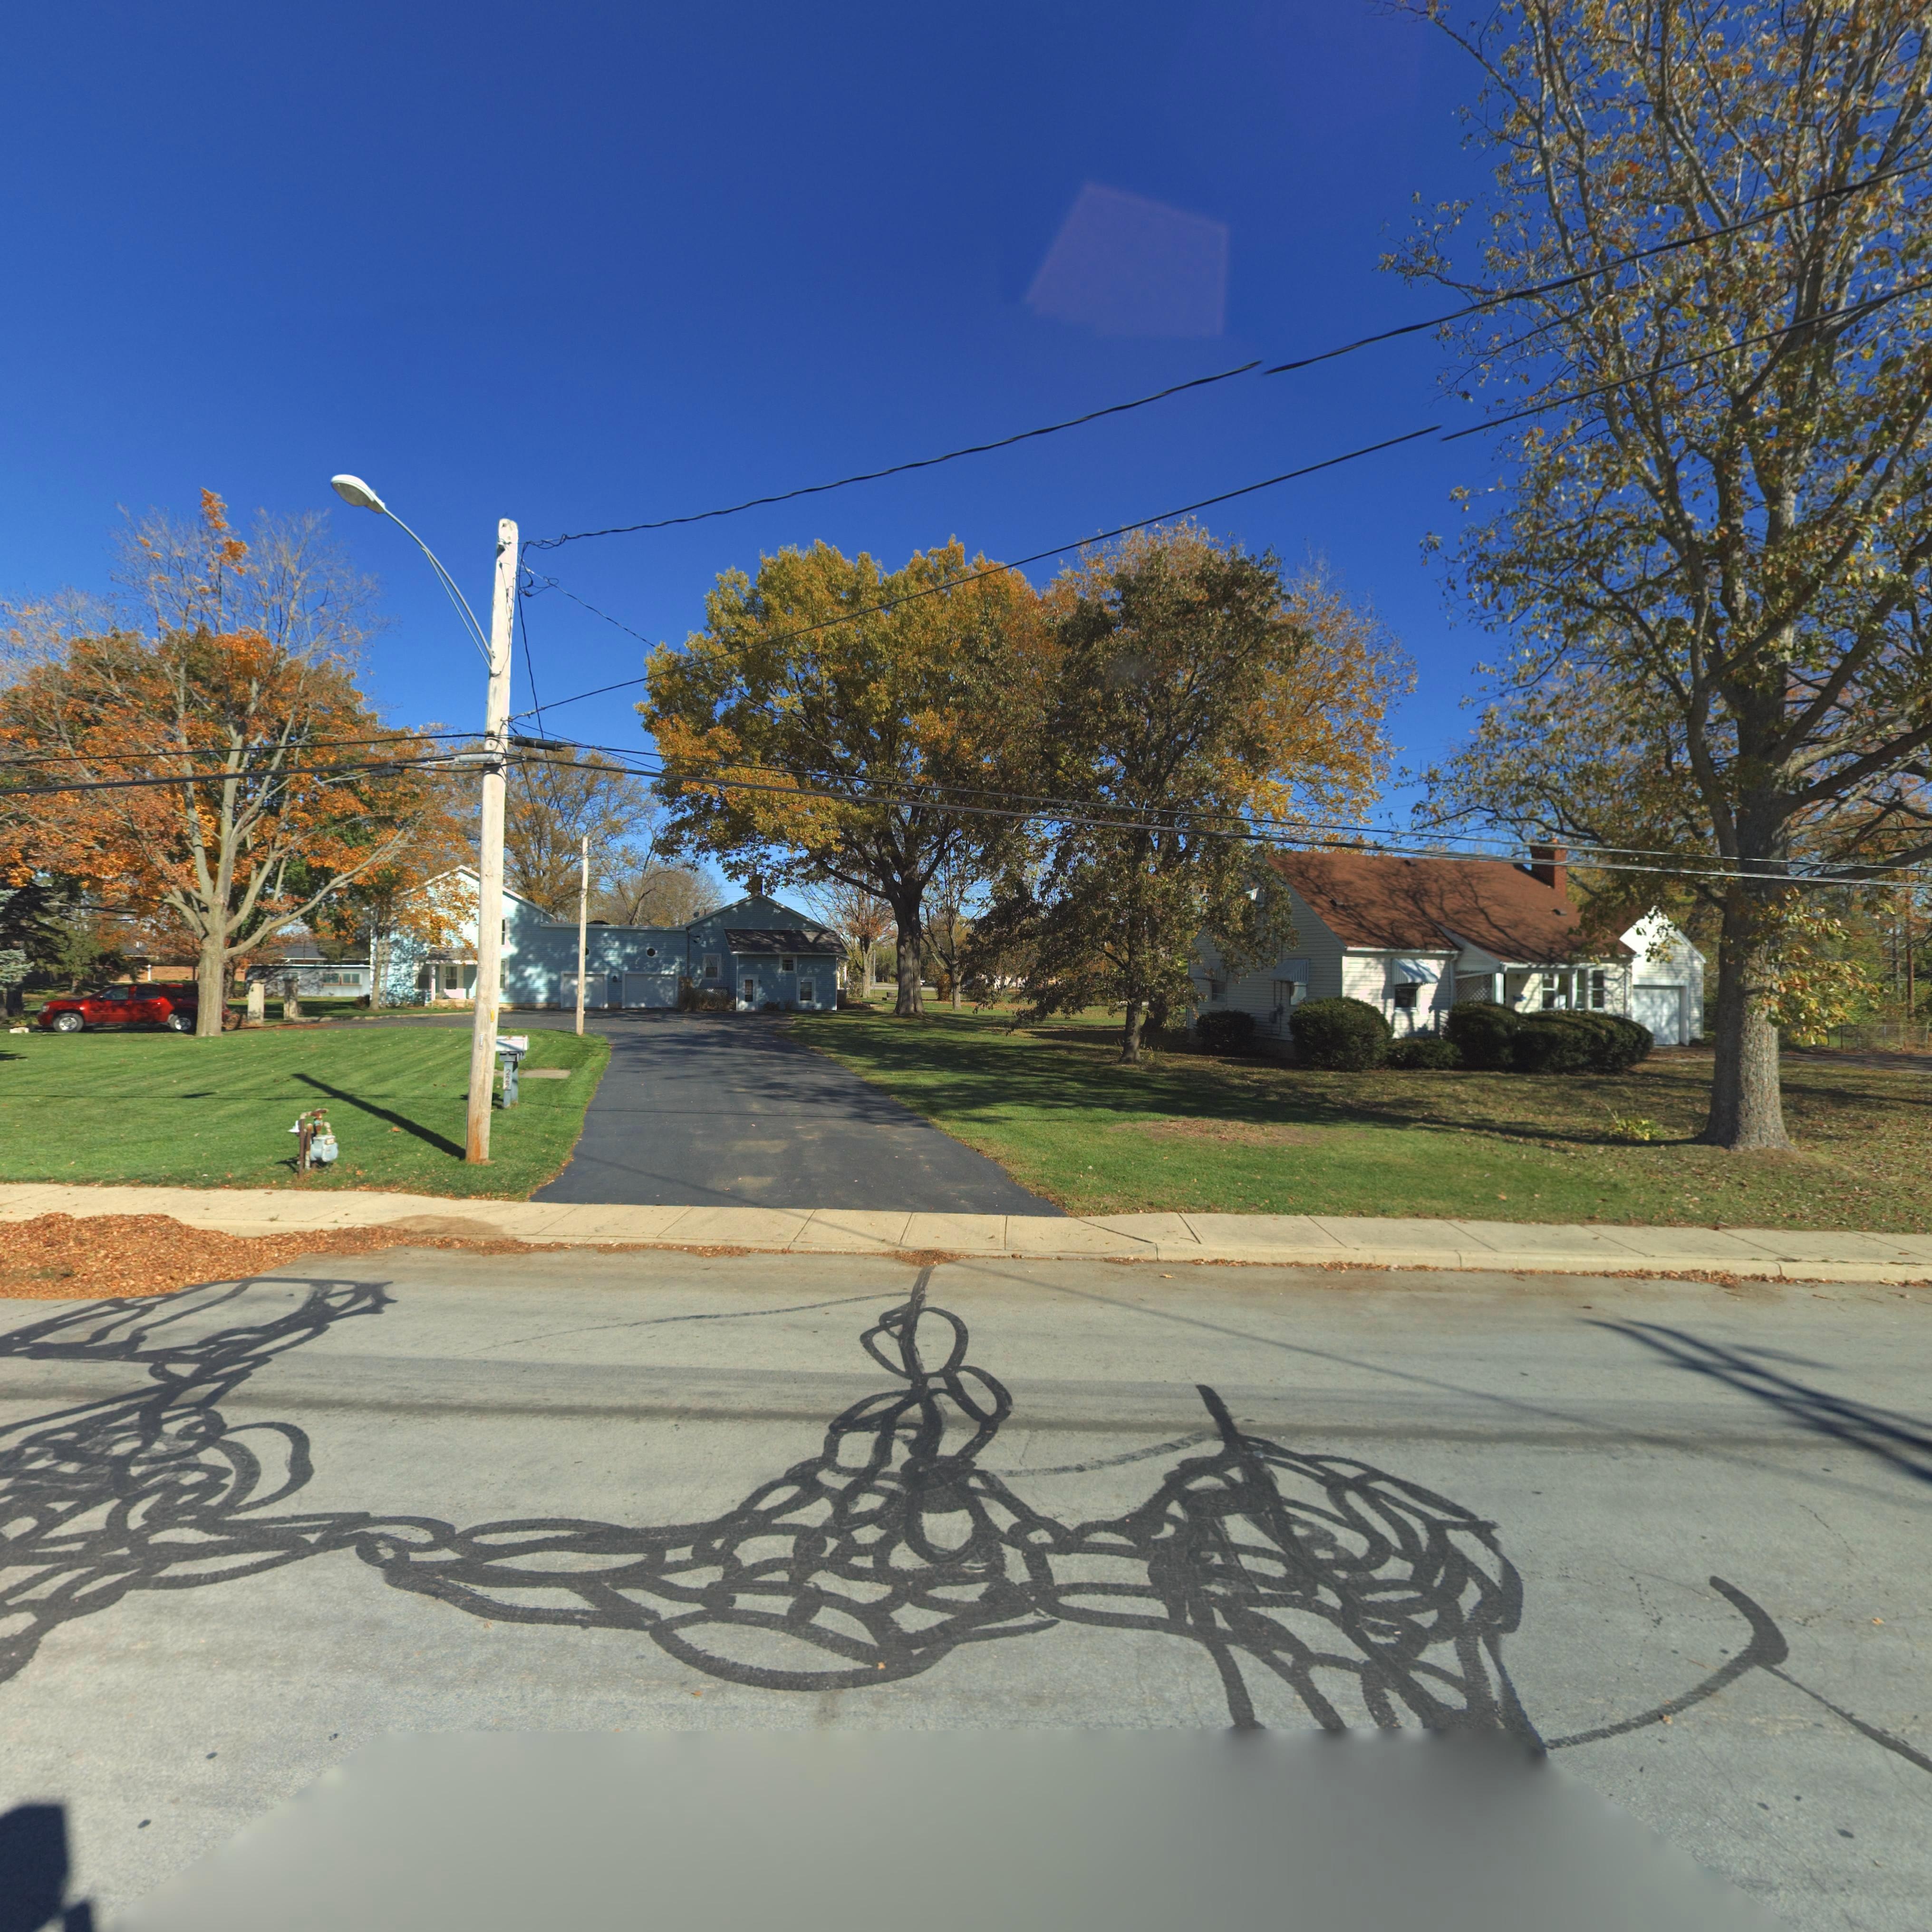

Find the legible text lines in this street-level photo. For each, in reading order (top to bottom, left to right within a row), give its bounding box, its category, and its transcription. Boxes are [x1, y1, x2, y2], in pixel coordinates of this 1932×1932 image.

[504, 1068, 512, 1089] StreetNumber: 222